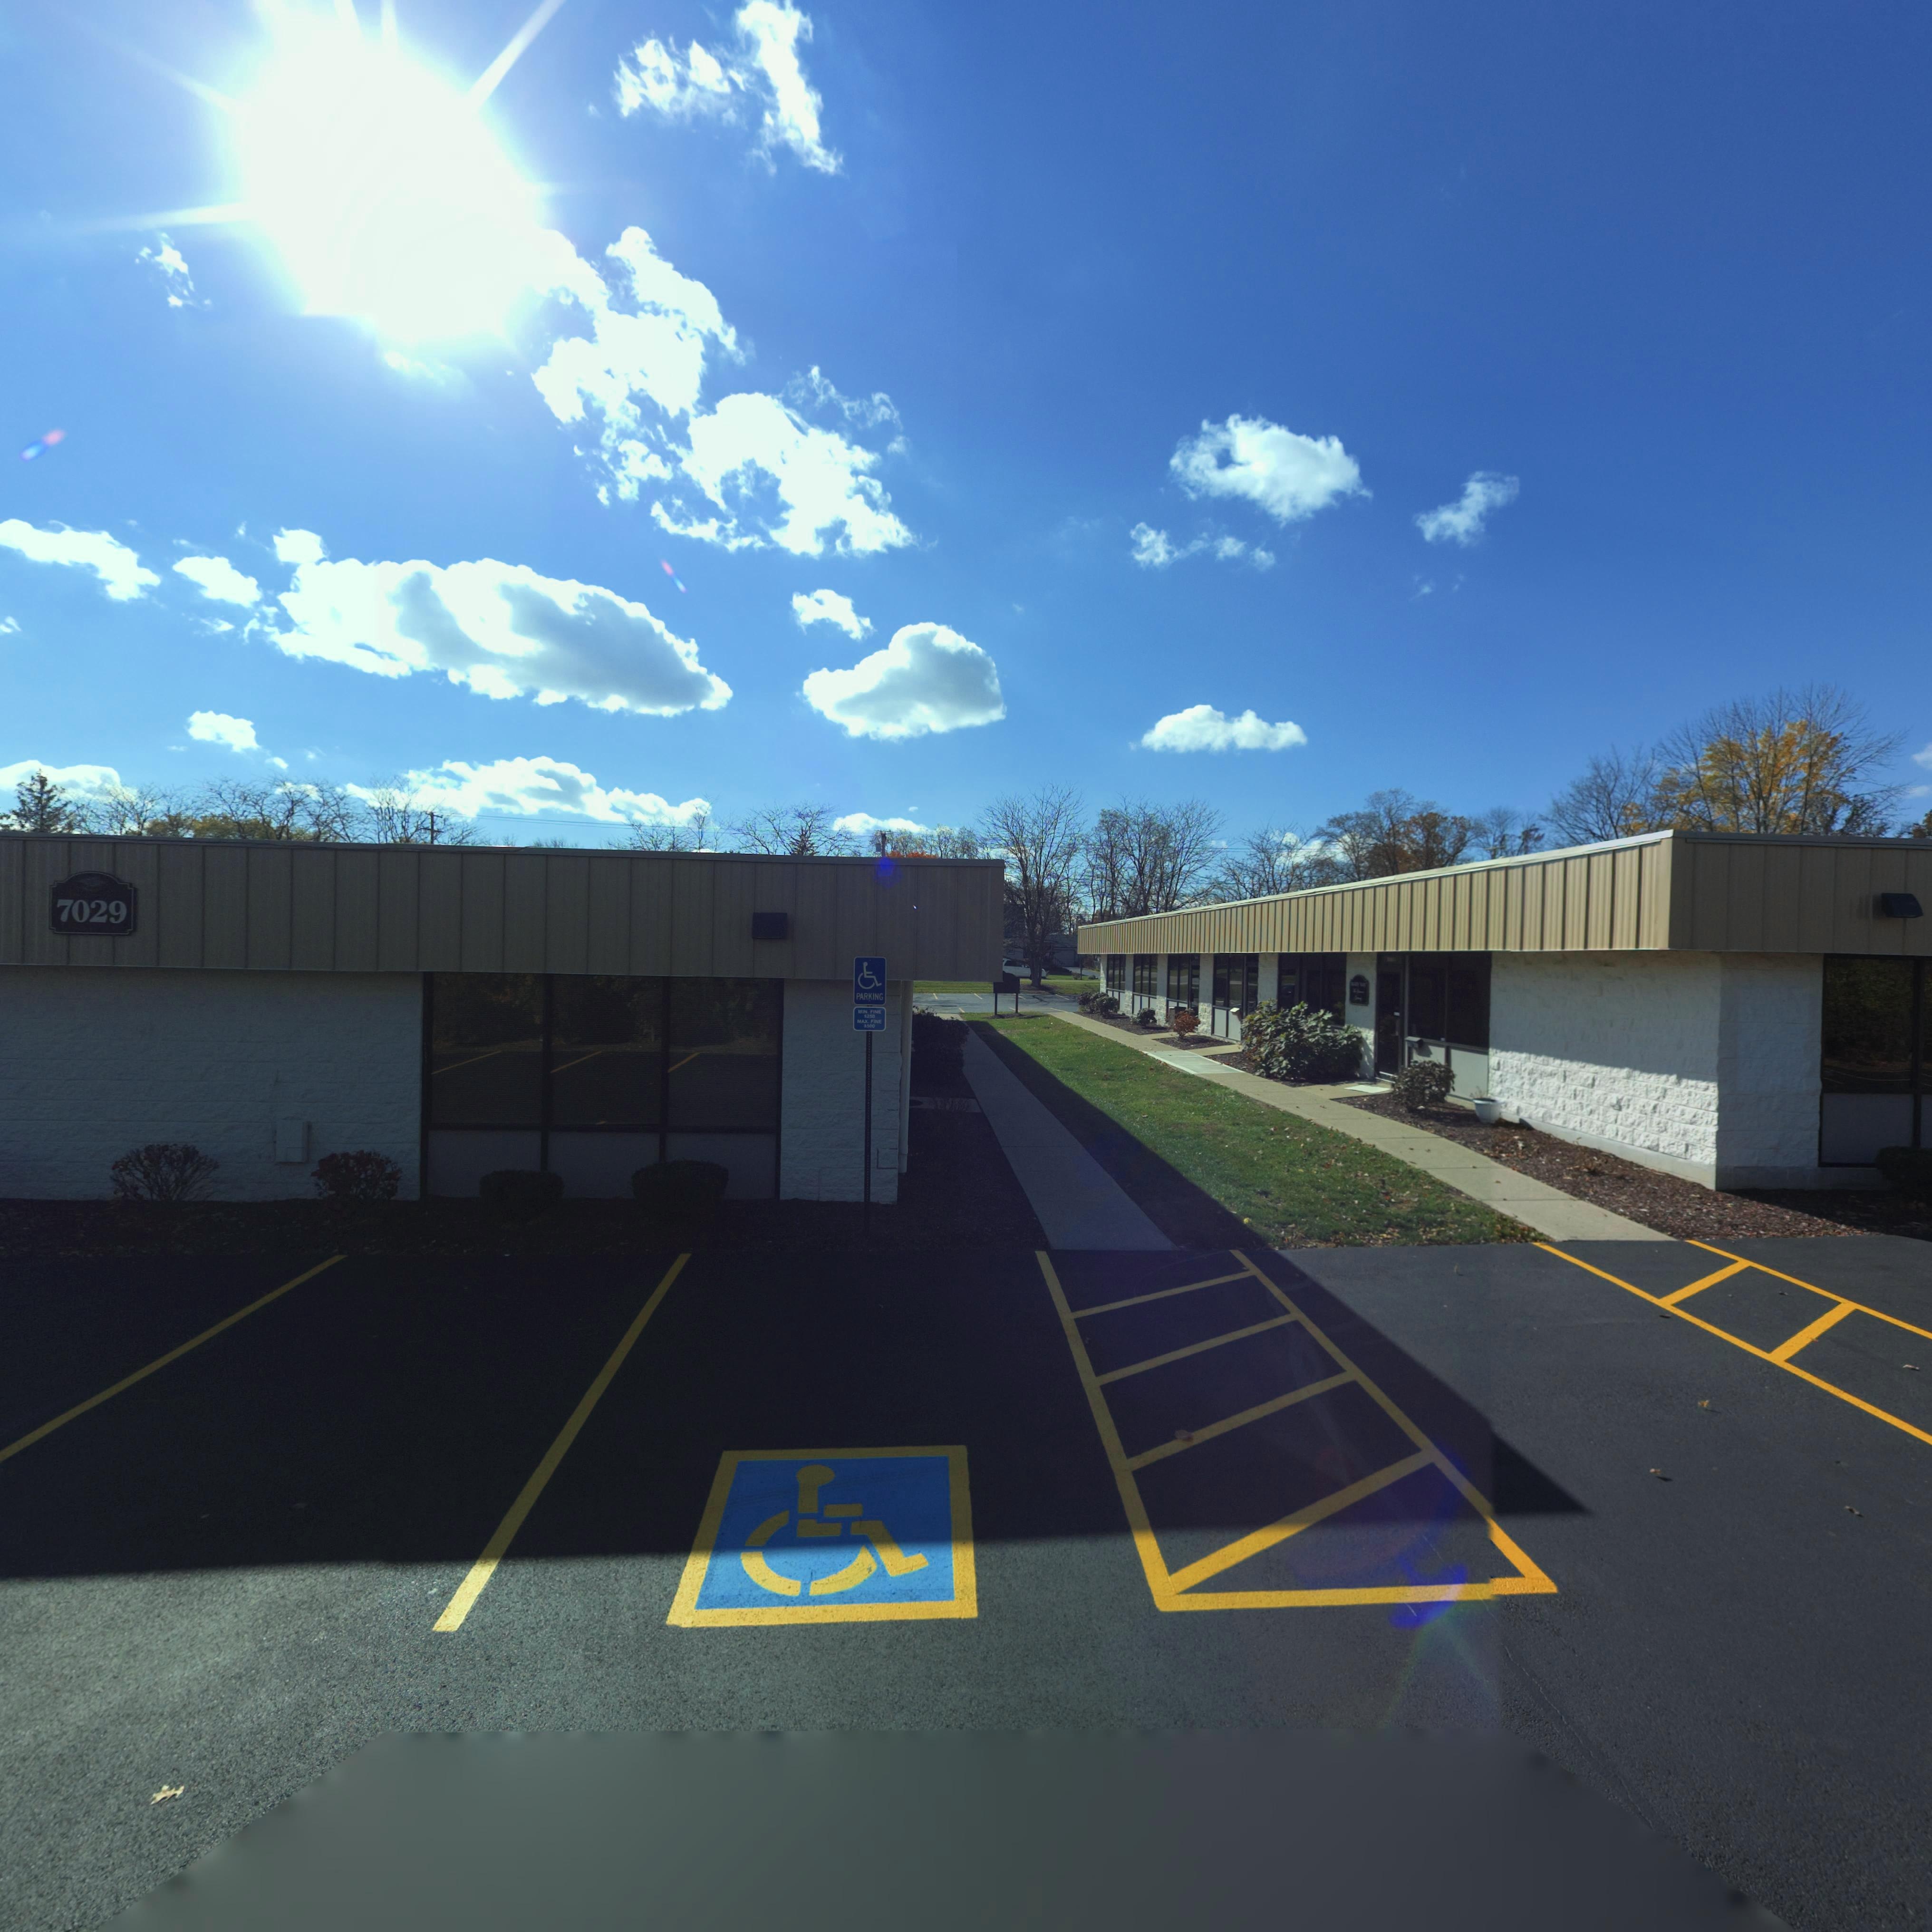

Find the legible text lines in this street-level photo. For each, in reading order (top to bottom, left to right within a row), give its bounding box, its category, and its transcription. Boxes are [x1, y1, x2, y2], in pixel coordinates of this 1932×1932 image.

[55, 897, 129, 926] StreetNumber: 7029